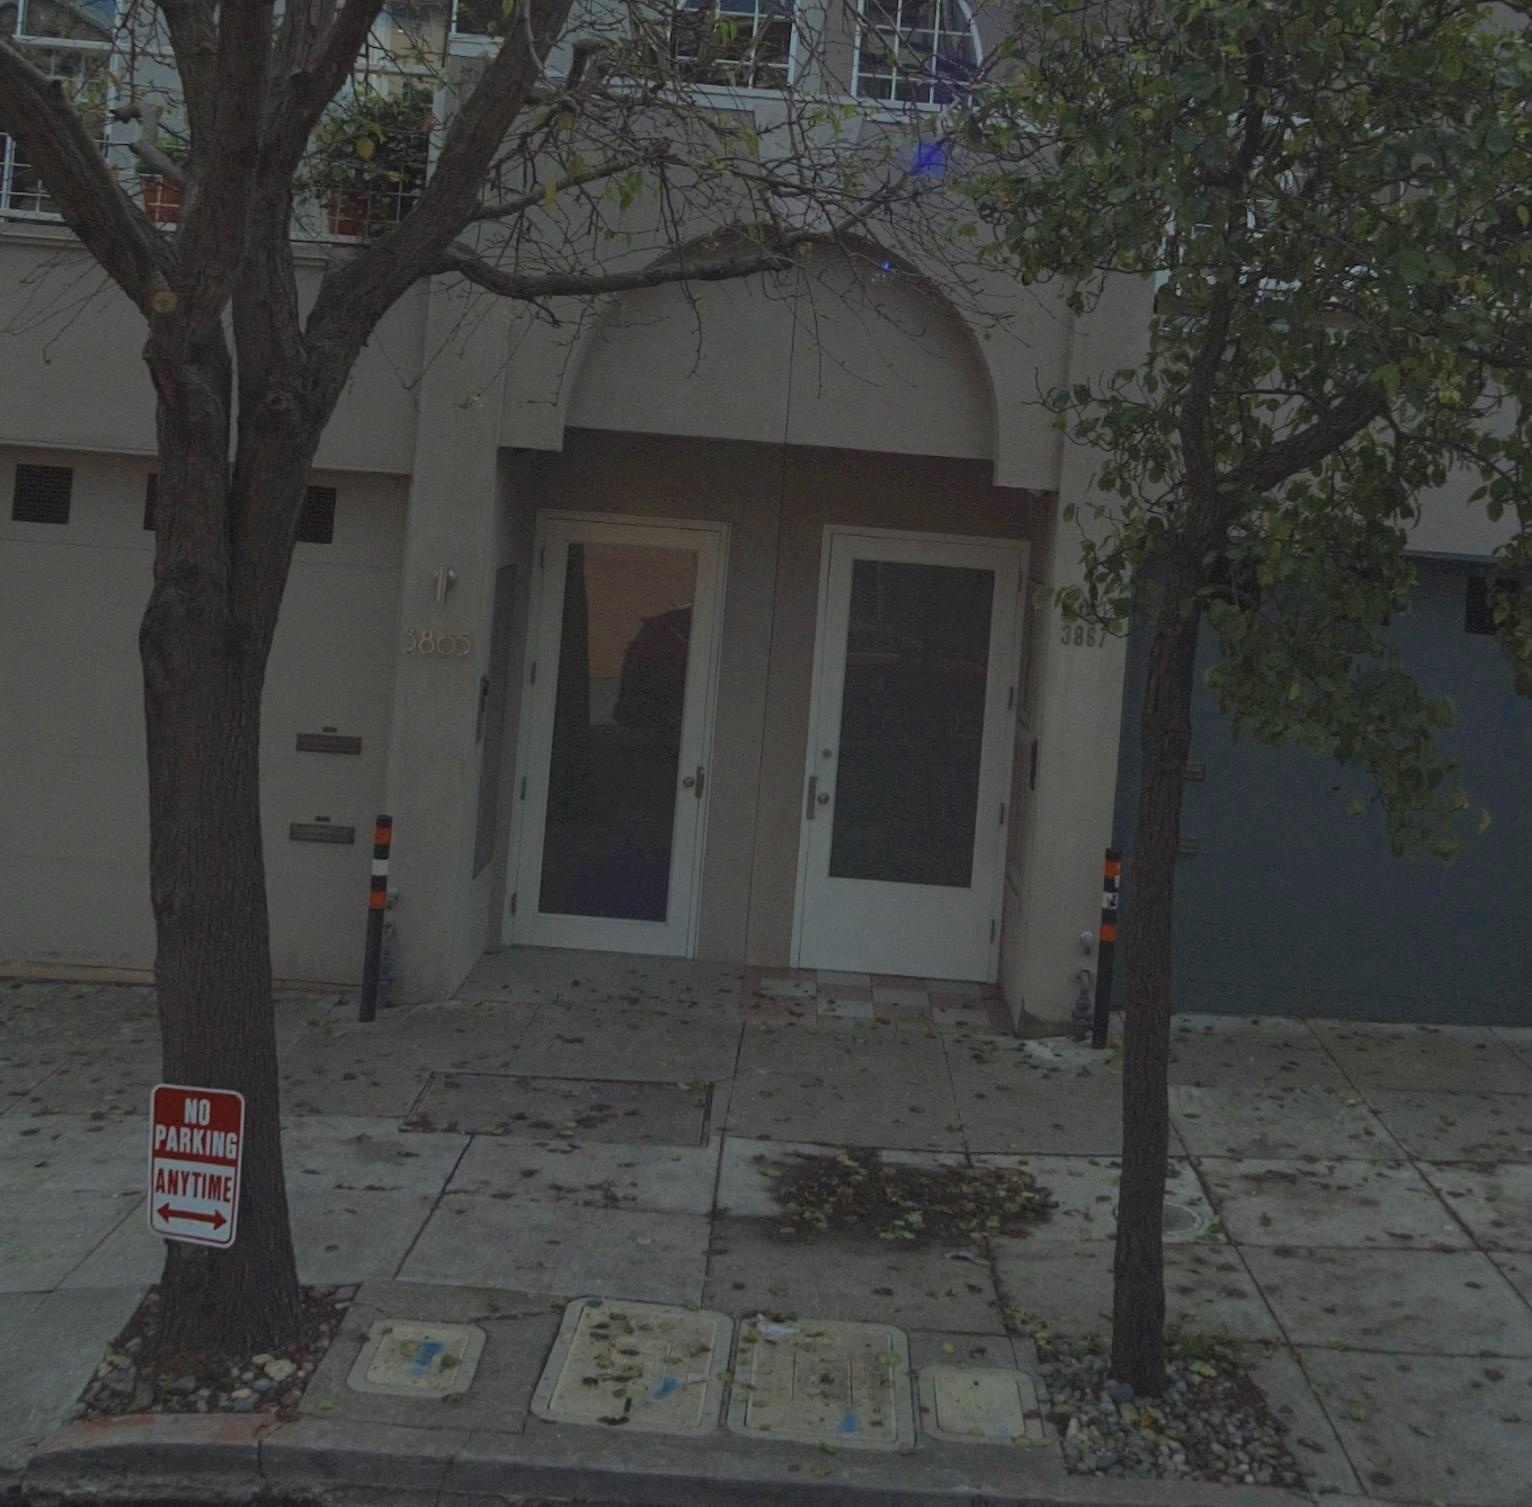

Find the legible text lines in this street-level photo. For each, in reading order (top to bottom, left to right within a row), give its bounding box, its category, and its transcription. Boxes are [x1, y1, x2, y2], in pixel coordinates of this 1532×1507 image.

[400, 625, 475, 659] StreetNumber: 3865
[1059, 623, 1110, 648] StreetNumber: 3867
[183, 1096, 212, 1127] None: NO
[154, 1122, 239, 1162] None: PARKING
[154, 1167, 234, 1204] None: ANYTIME